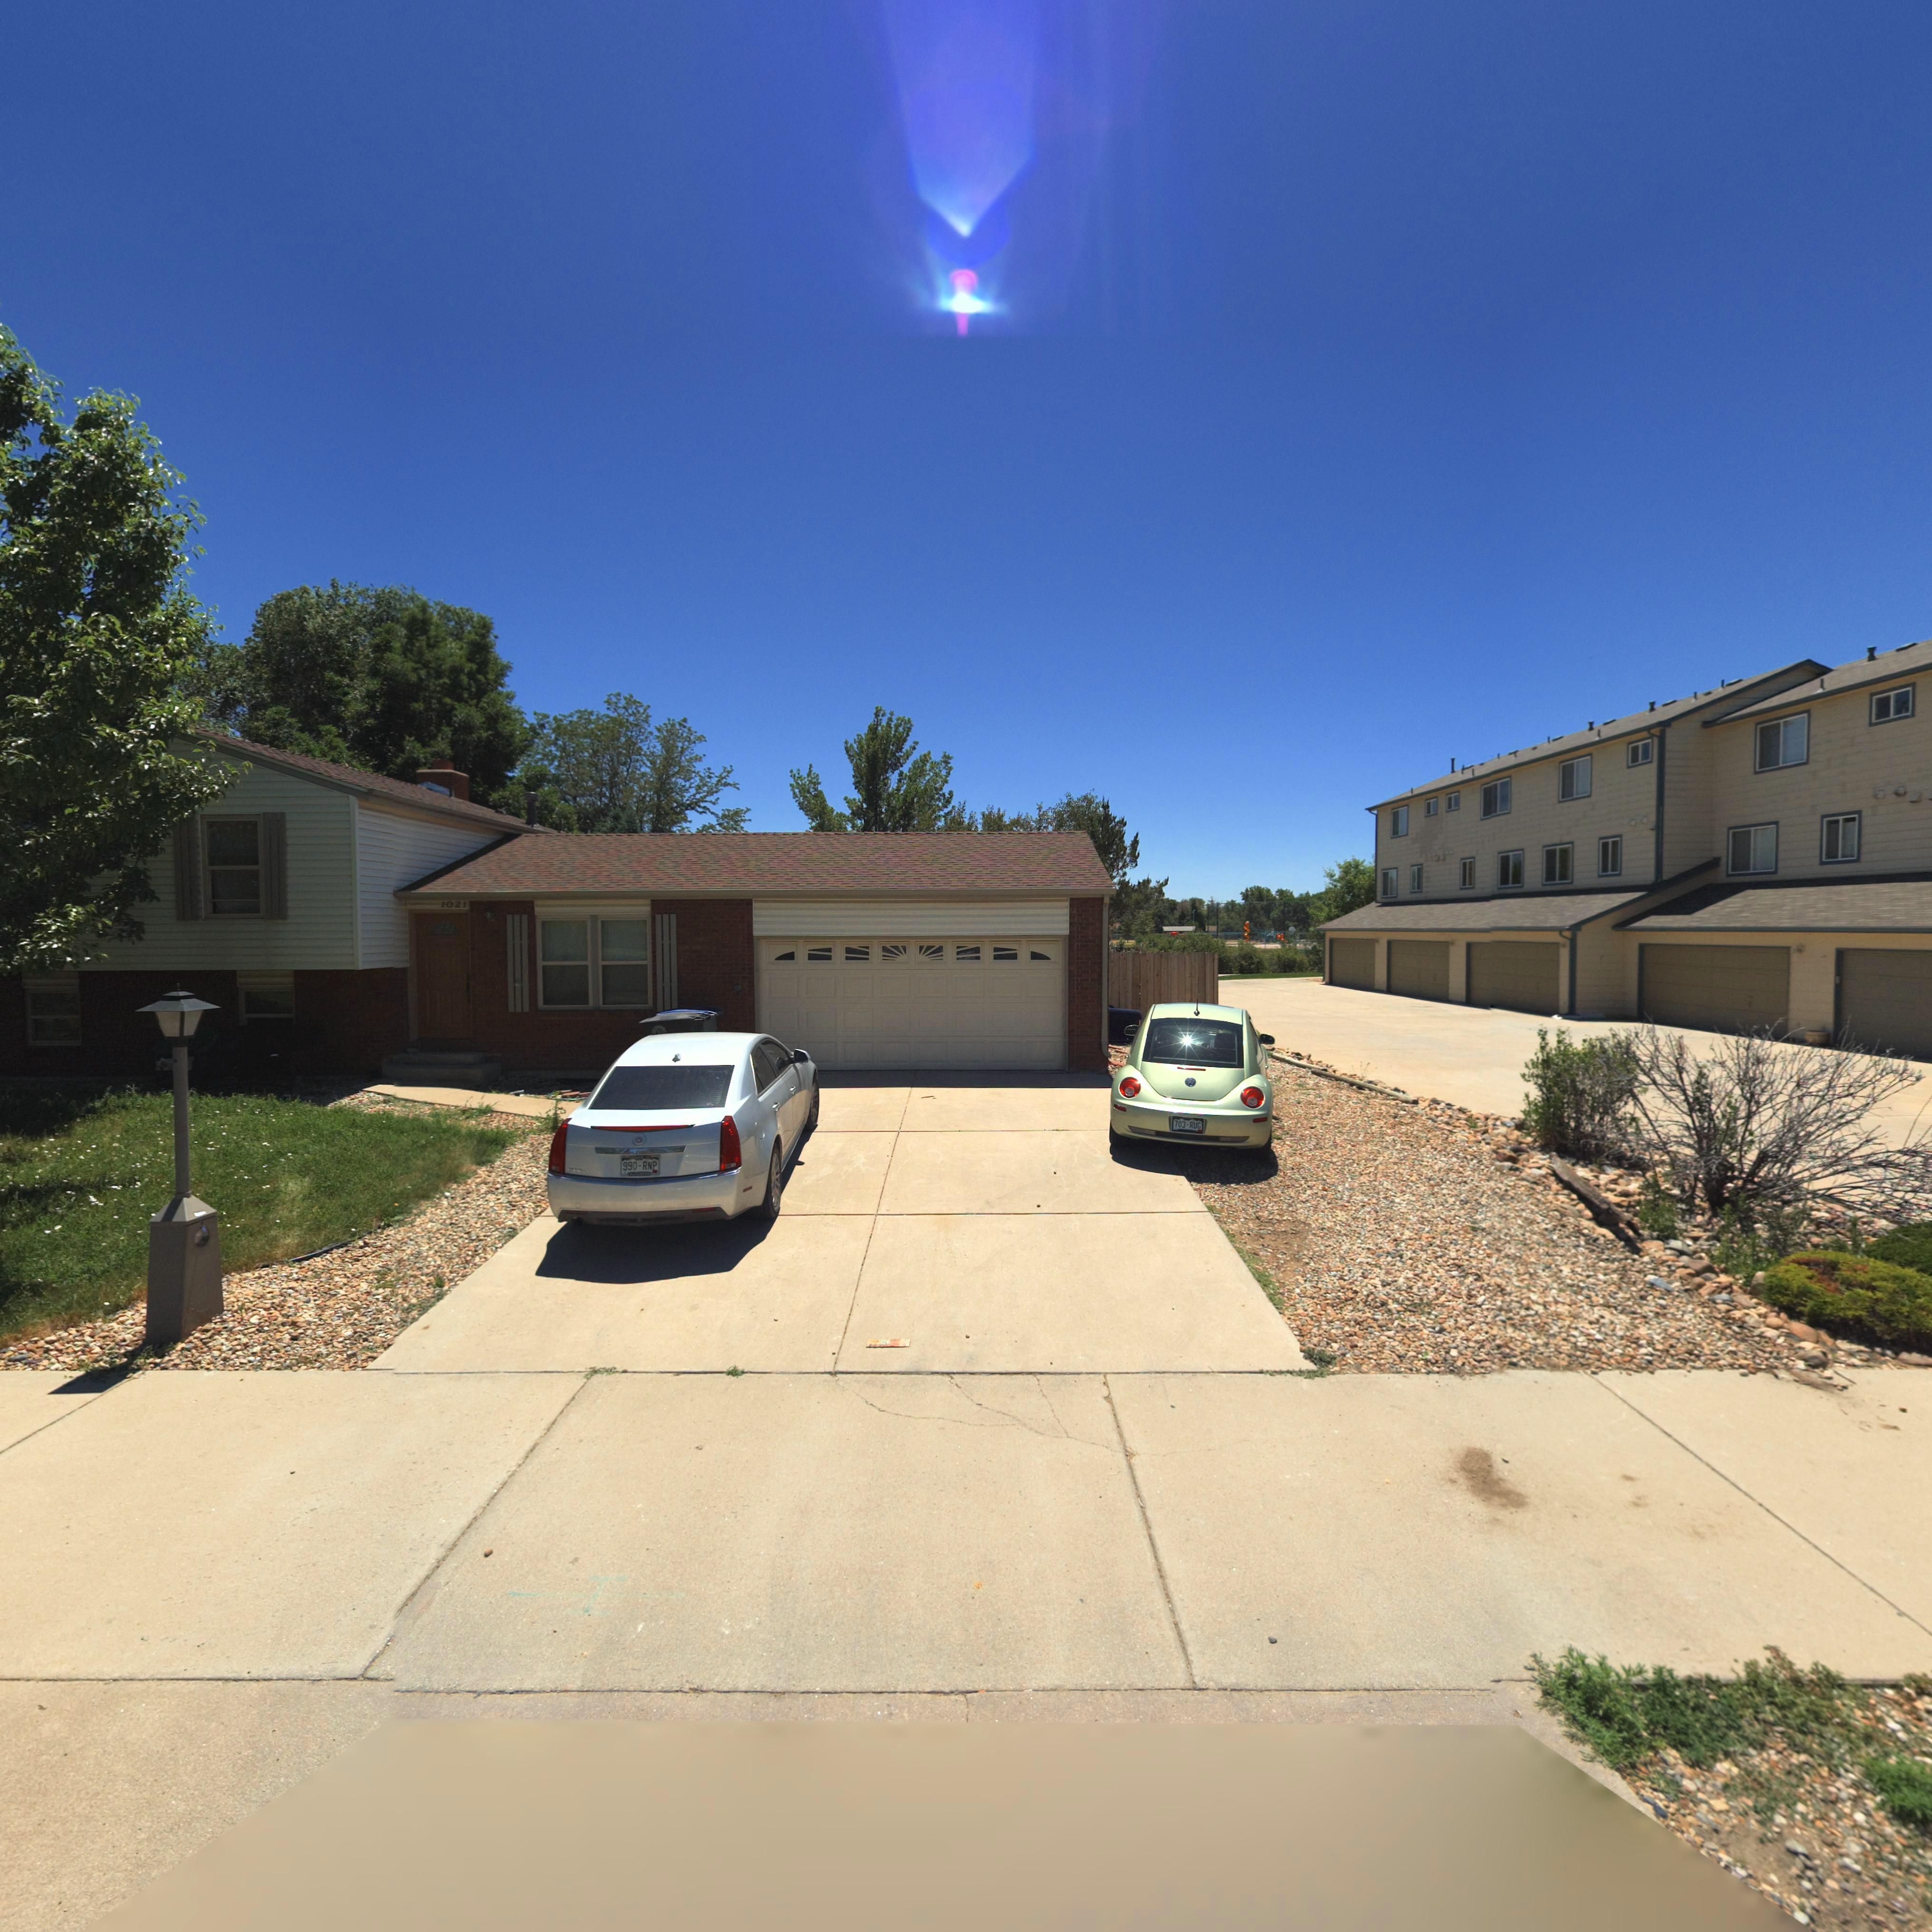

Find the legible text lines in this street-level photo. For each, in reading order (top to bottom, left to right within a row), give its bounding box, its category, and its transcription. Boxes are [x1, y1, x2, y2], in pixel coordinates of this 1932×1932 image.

[439, 900, 467, 908] StreetNumber: 1021